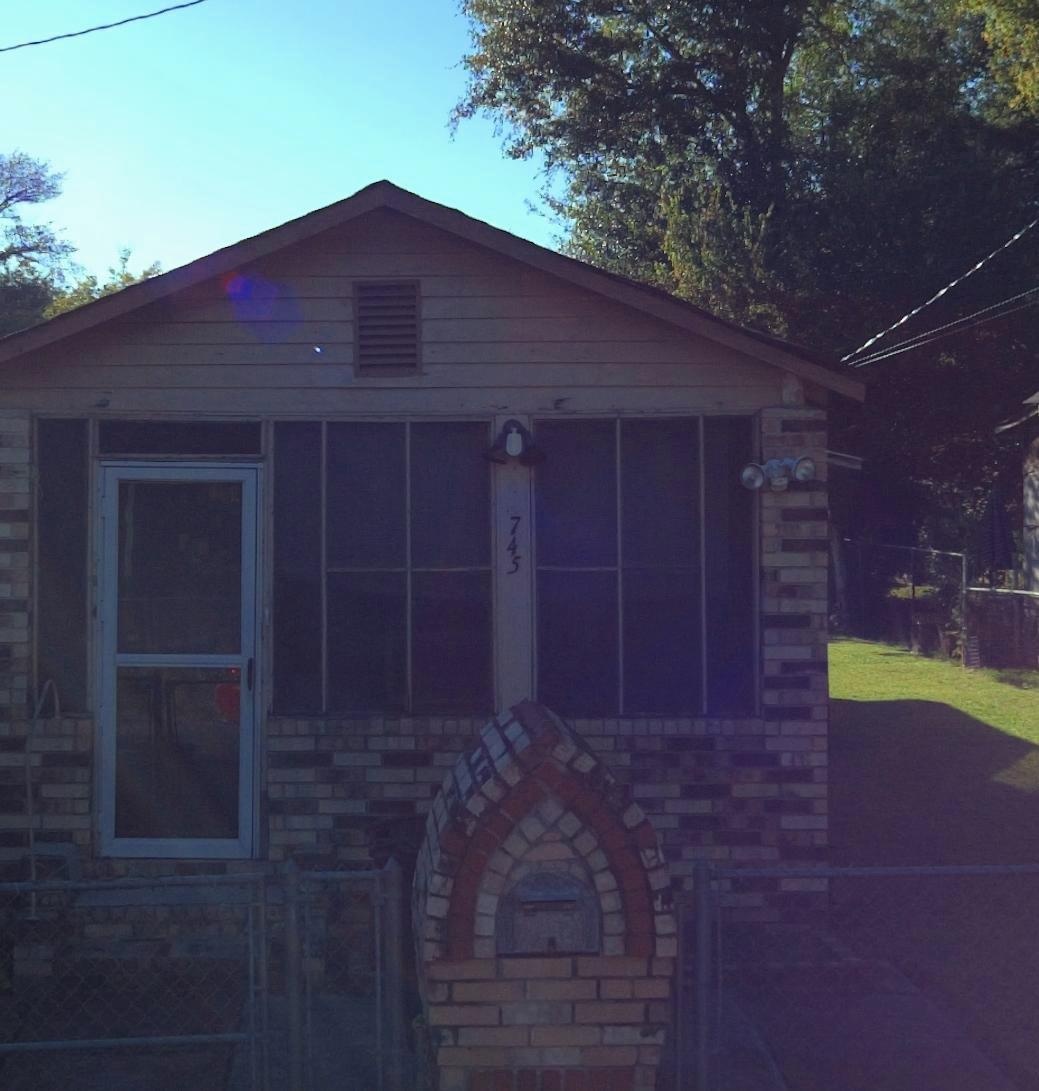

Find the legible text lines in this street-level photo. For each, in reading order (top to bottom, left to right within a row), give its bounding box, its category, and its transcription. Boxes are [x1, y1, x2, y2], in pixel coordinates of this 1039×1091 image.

[504, 513, 523, 576] StreetNumber: 745